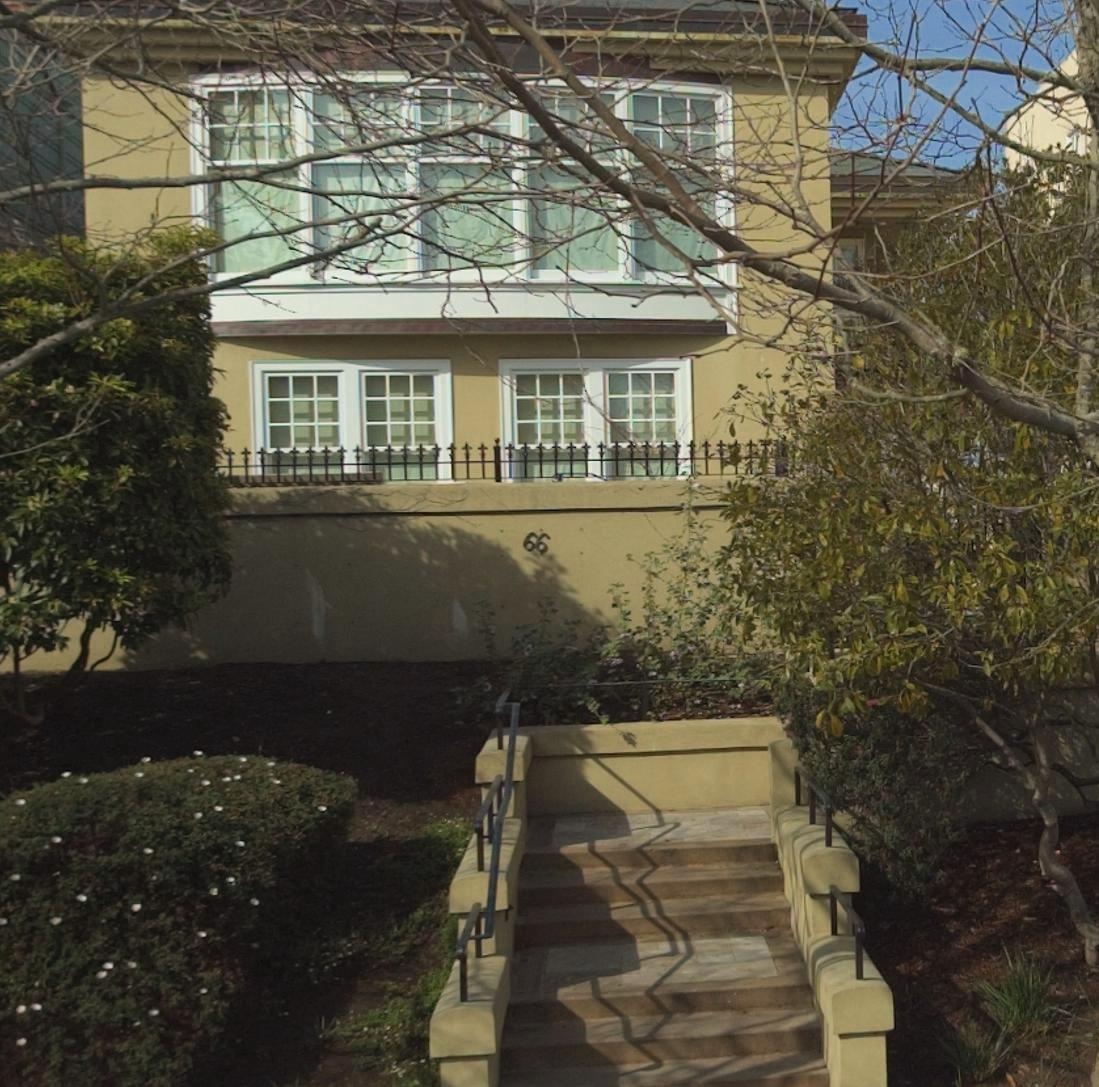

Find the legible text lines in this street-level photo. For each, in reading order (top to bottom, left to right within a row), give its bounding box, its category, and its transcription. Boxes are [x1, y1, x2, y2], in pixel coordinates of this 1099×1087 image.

[521, 529, 553, 557] StreetNumber: 66